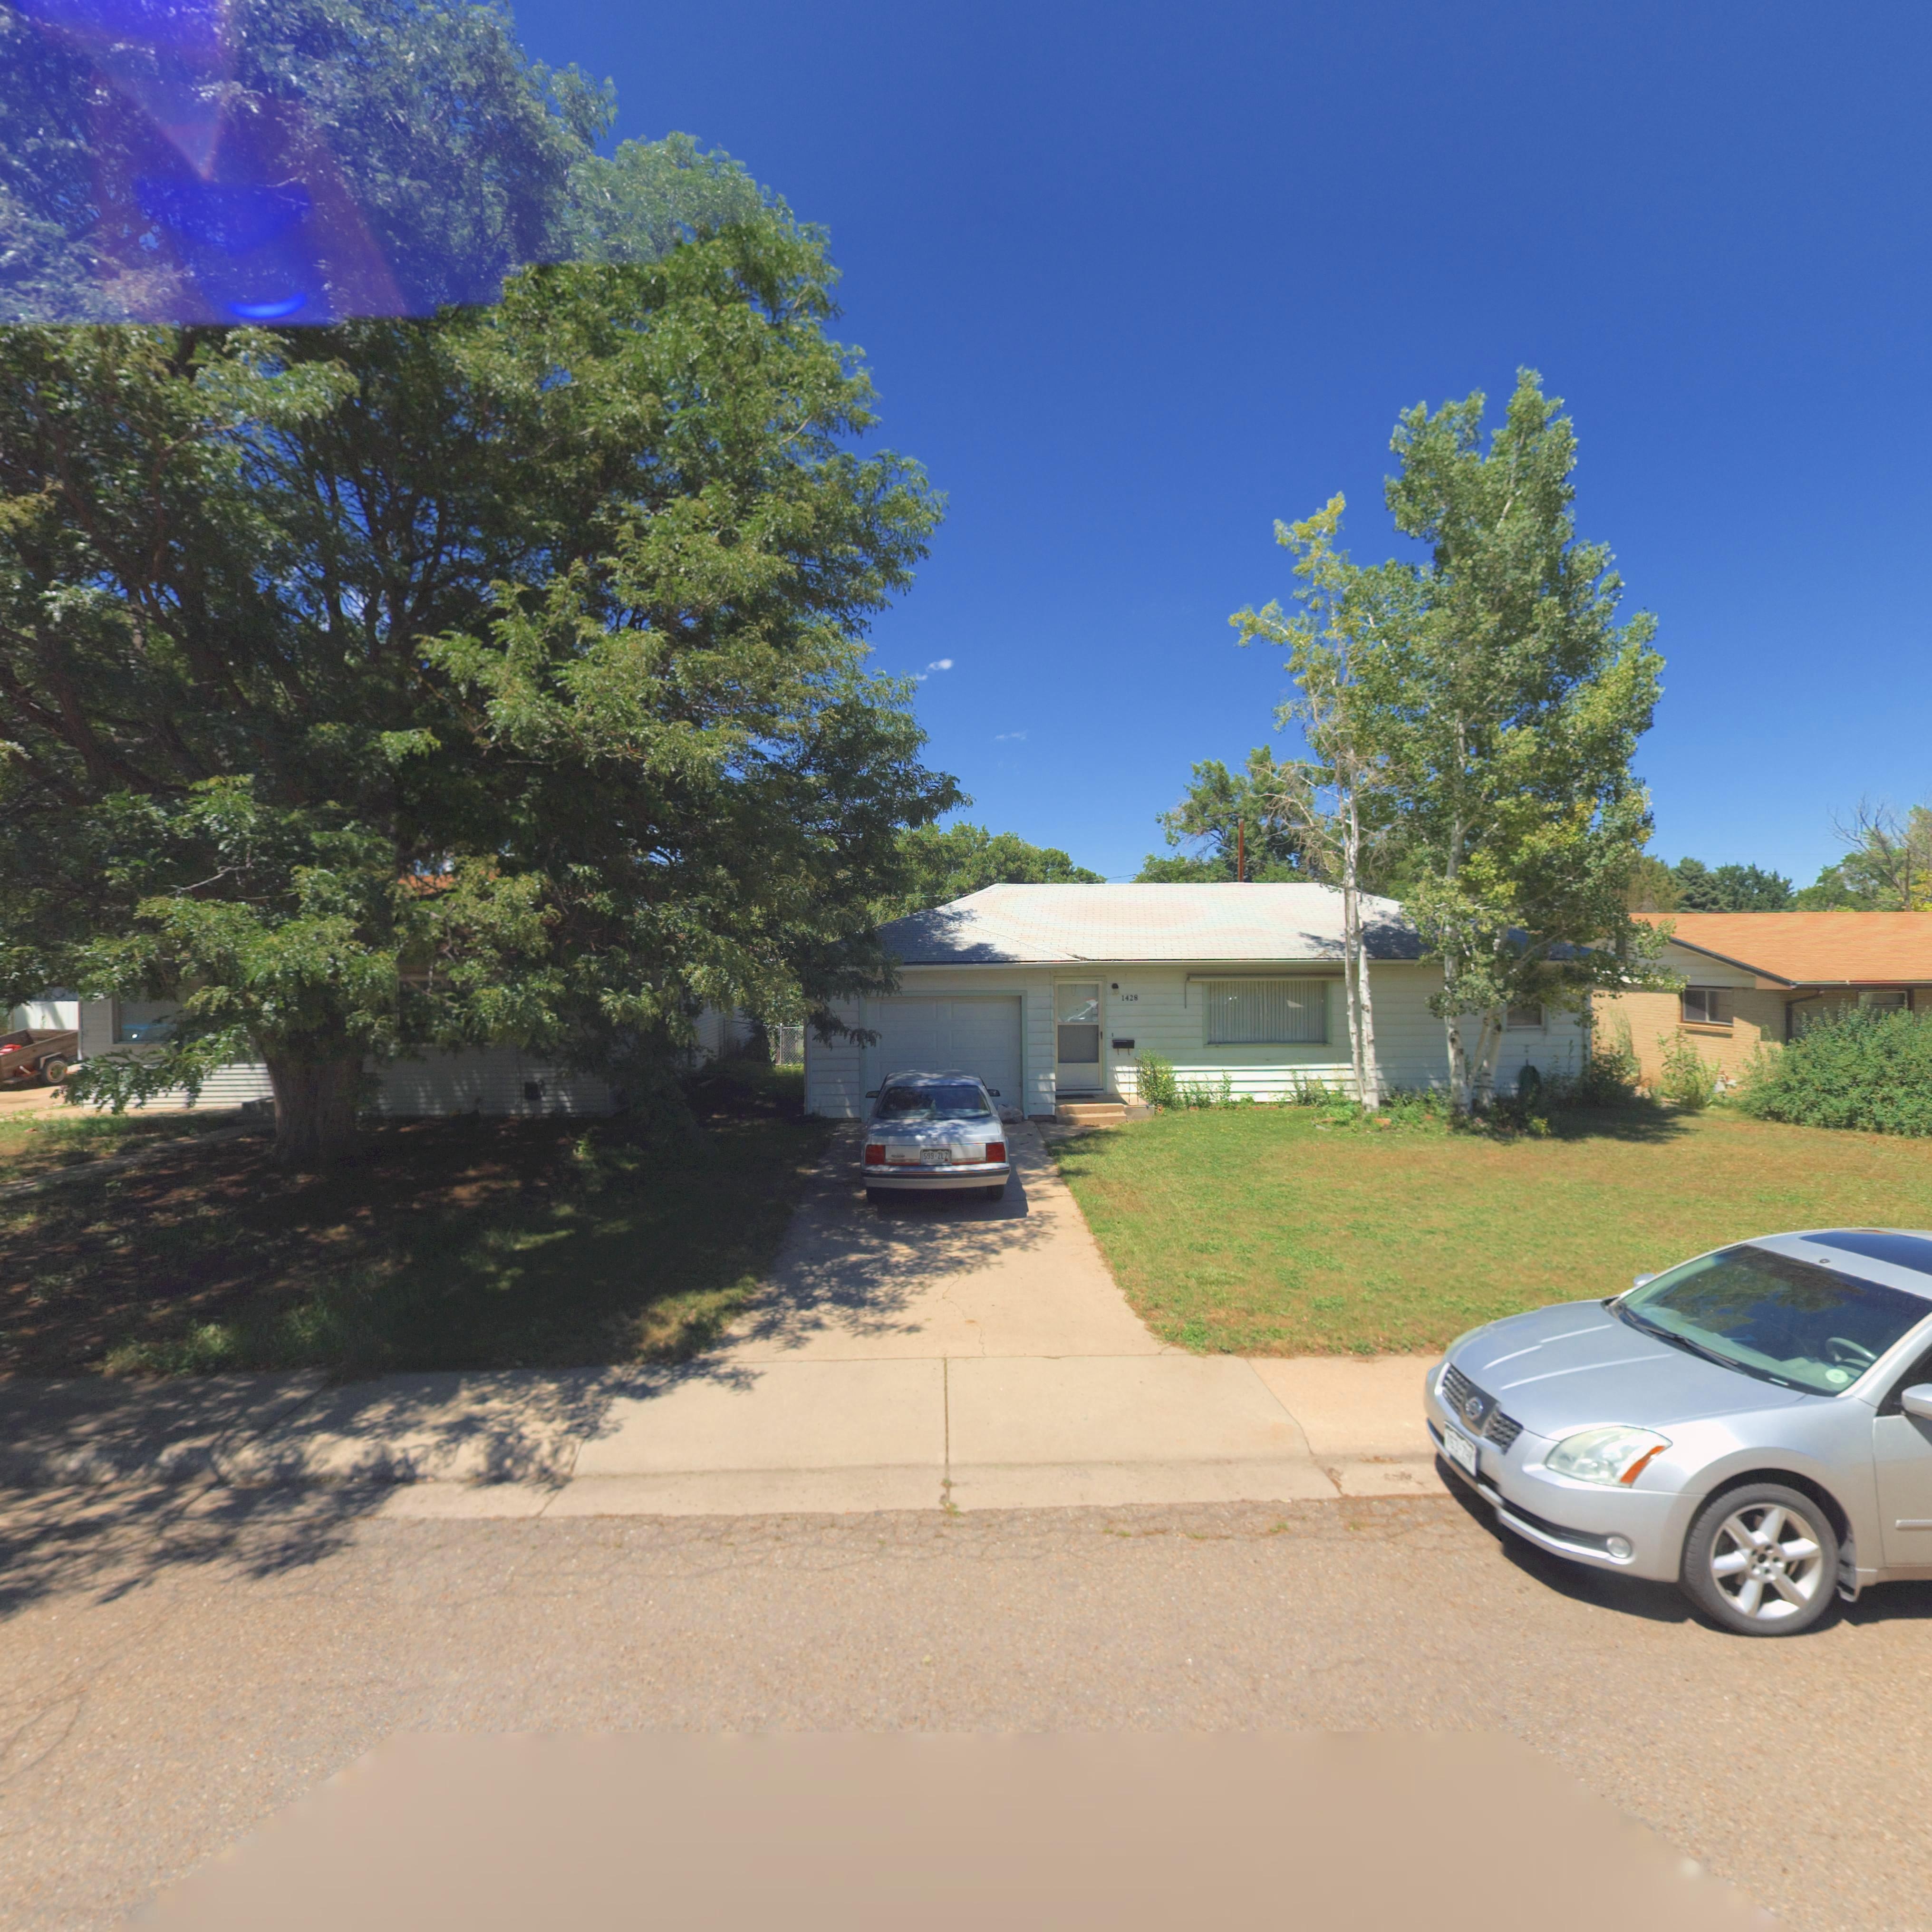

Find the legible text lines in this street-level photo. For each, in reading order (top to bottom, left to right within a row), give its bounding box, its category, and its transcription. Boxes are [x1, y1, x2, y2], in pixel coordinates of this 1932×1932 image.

[1121, 994, 1138, 1001] StreetNumber: 1428